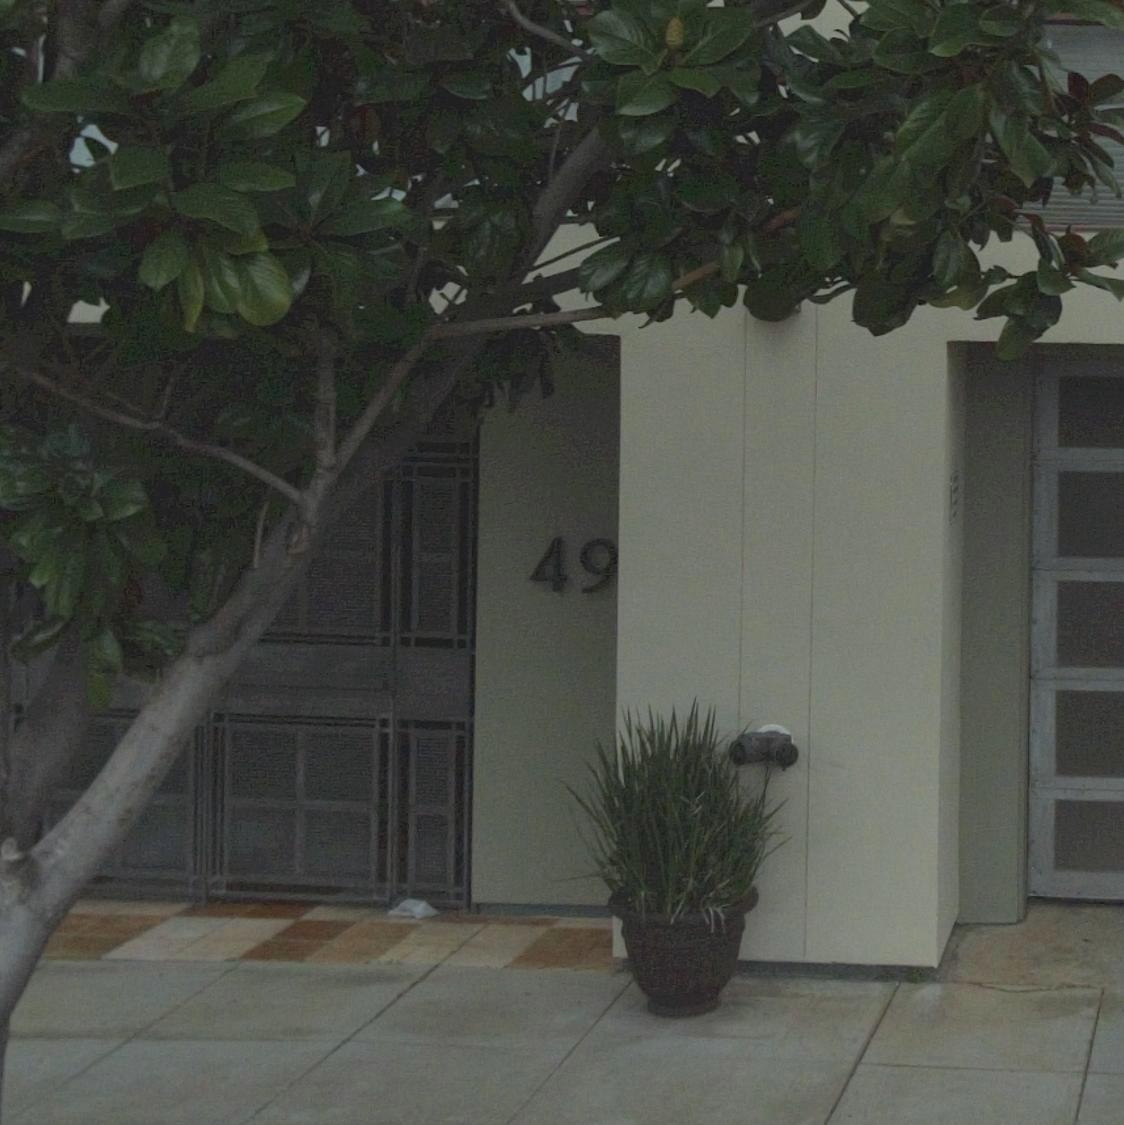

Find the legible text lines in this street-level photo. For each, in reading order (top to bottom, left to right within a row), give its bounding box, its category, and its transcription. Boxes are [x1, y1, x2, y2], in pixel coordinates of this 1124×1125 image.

[528, 535, 617, 595] StreetNumber: 49